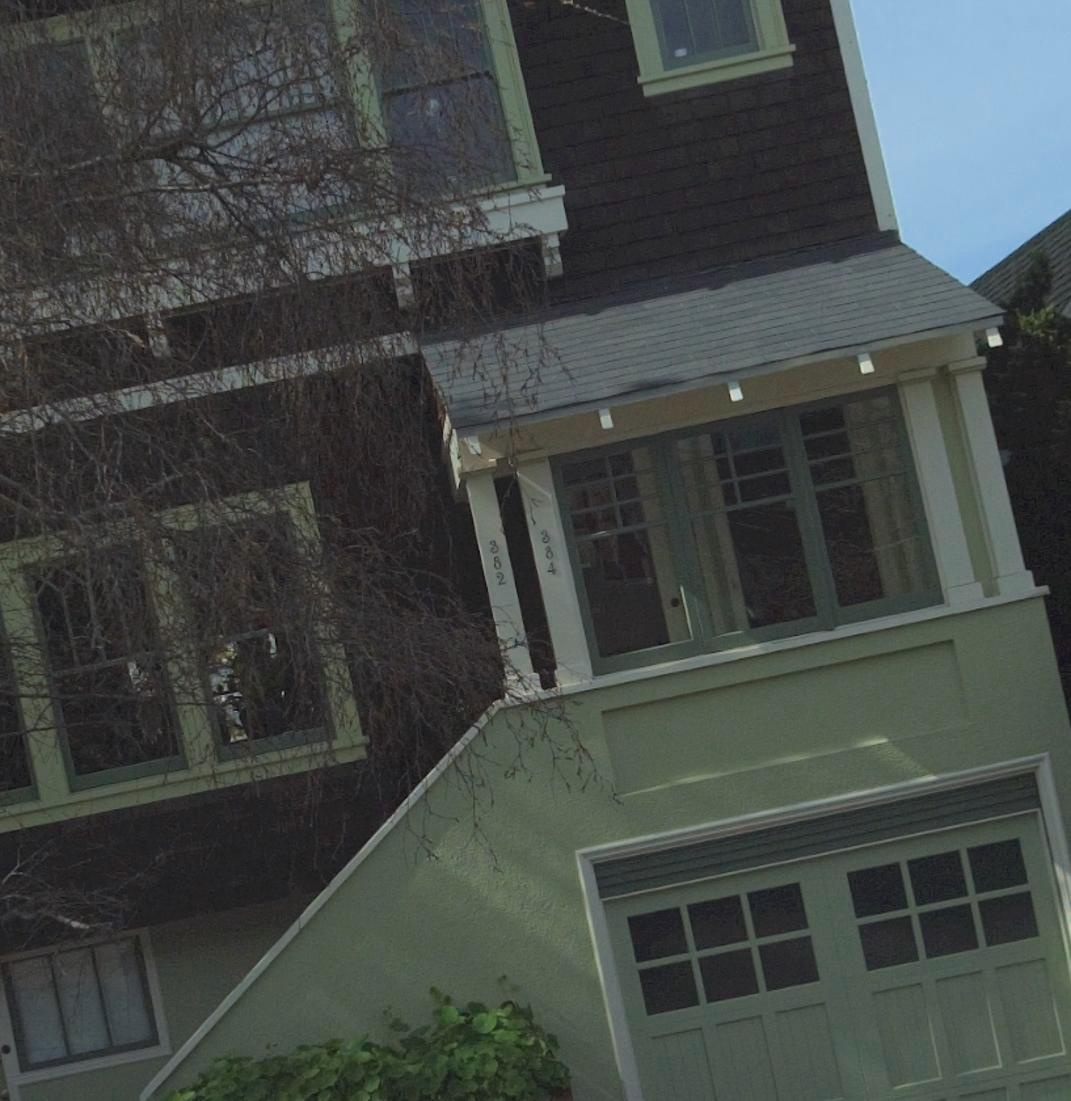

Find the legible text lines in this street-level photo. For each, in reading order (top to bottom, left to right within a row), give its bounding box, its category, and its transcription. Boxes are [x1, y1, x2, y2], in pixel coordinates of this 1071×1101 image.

[487, 536, 508, 590] StreetNumber: 382
[537, 526, 561, 579] StreetNumber: 384